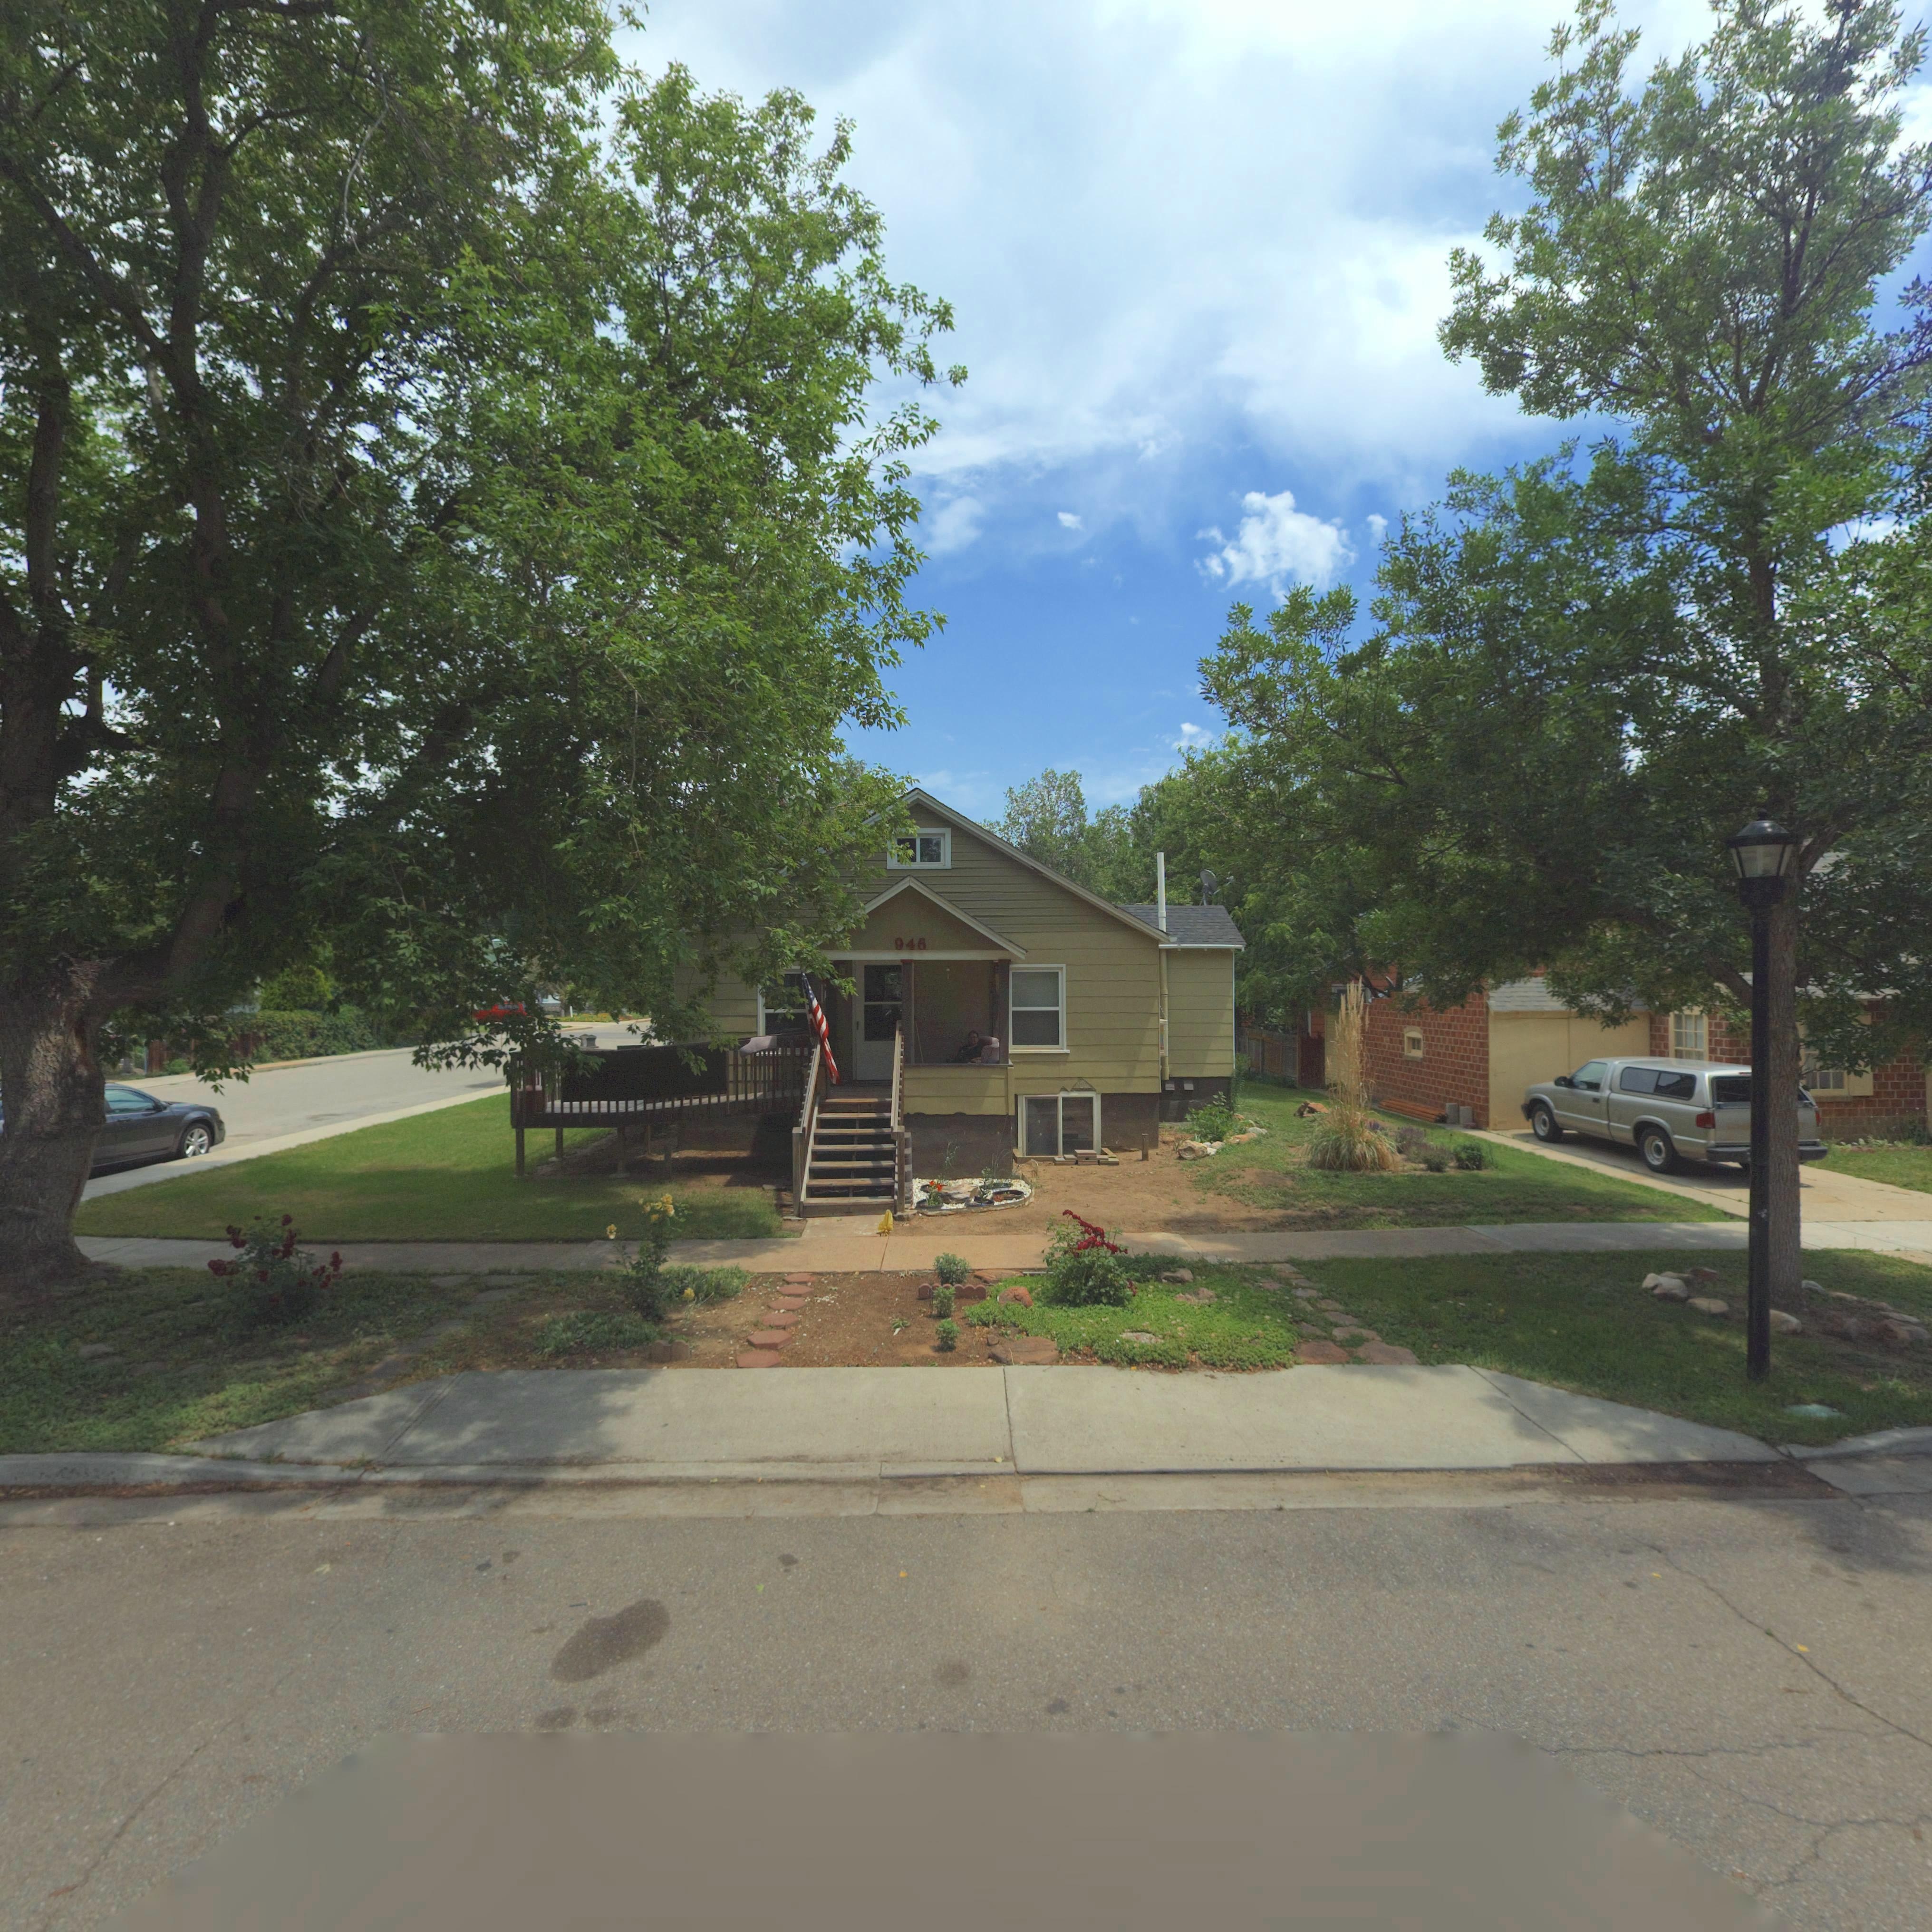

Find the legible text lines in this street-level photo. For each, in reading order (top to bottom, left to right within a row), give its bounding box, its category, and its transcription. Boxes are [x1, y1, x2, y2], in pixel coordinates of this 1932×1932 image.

[894, 937, 926, 950] StreetNumber: 946